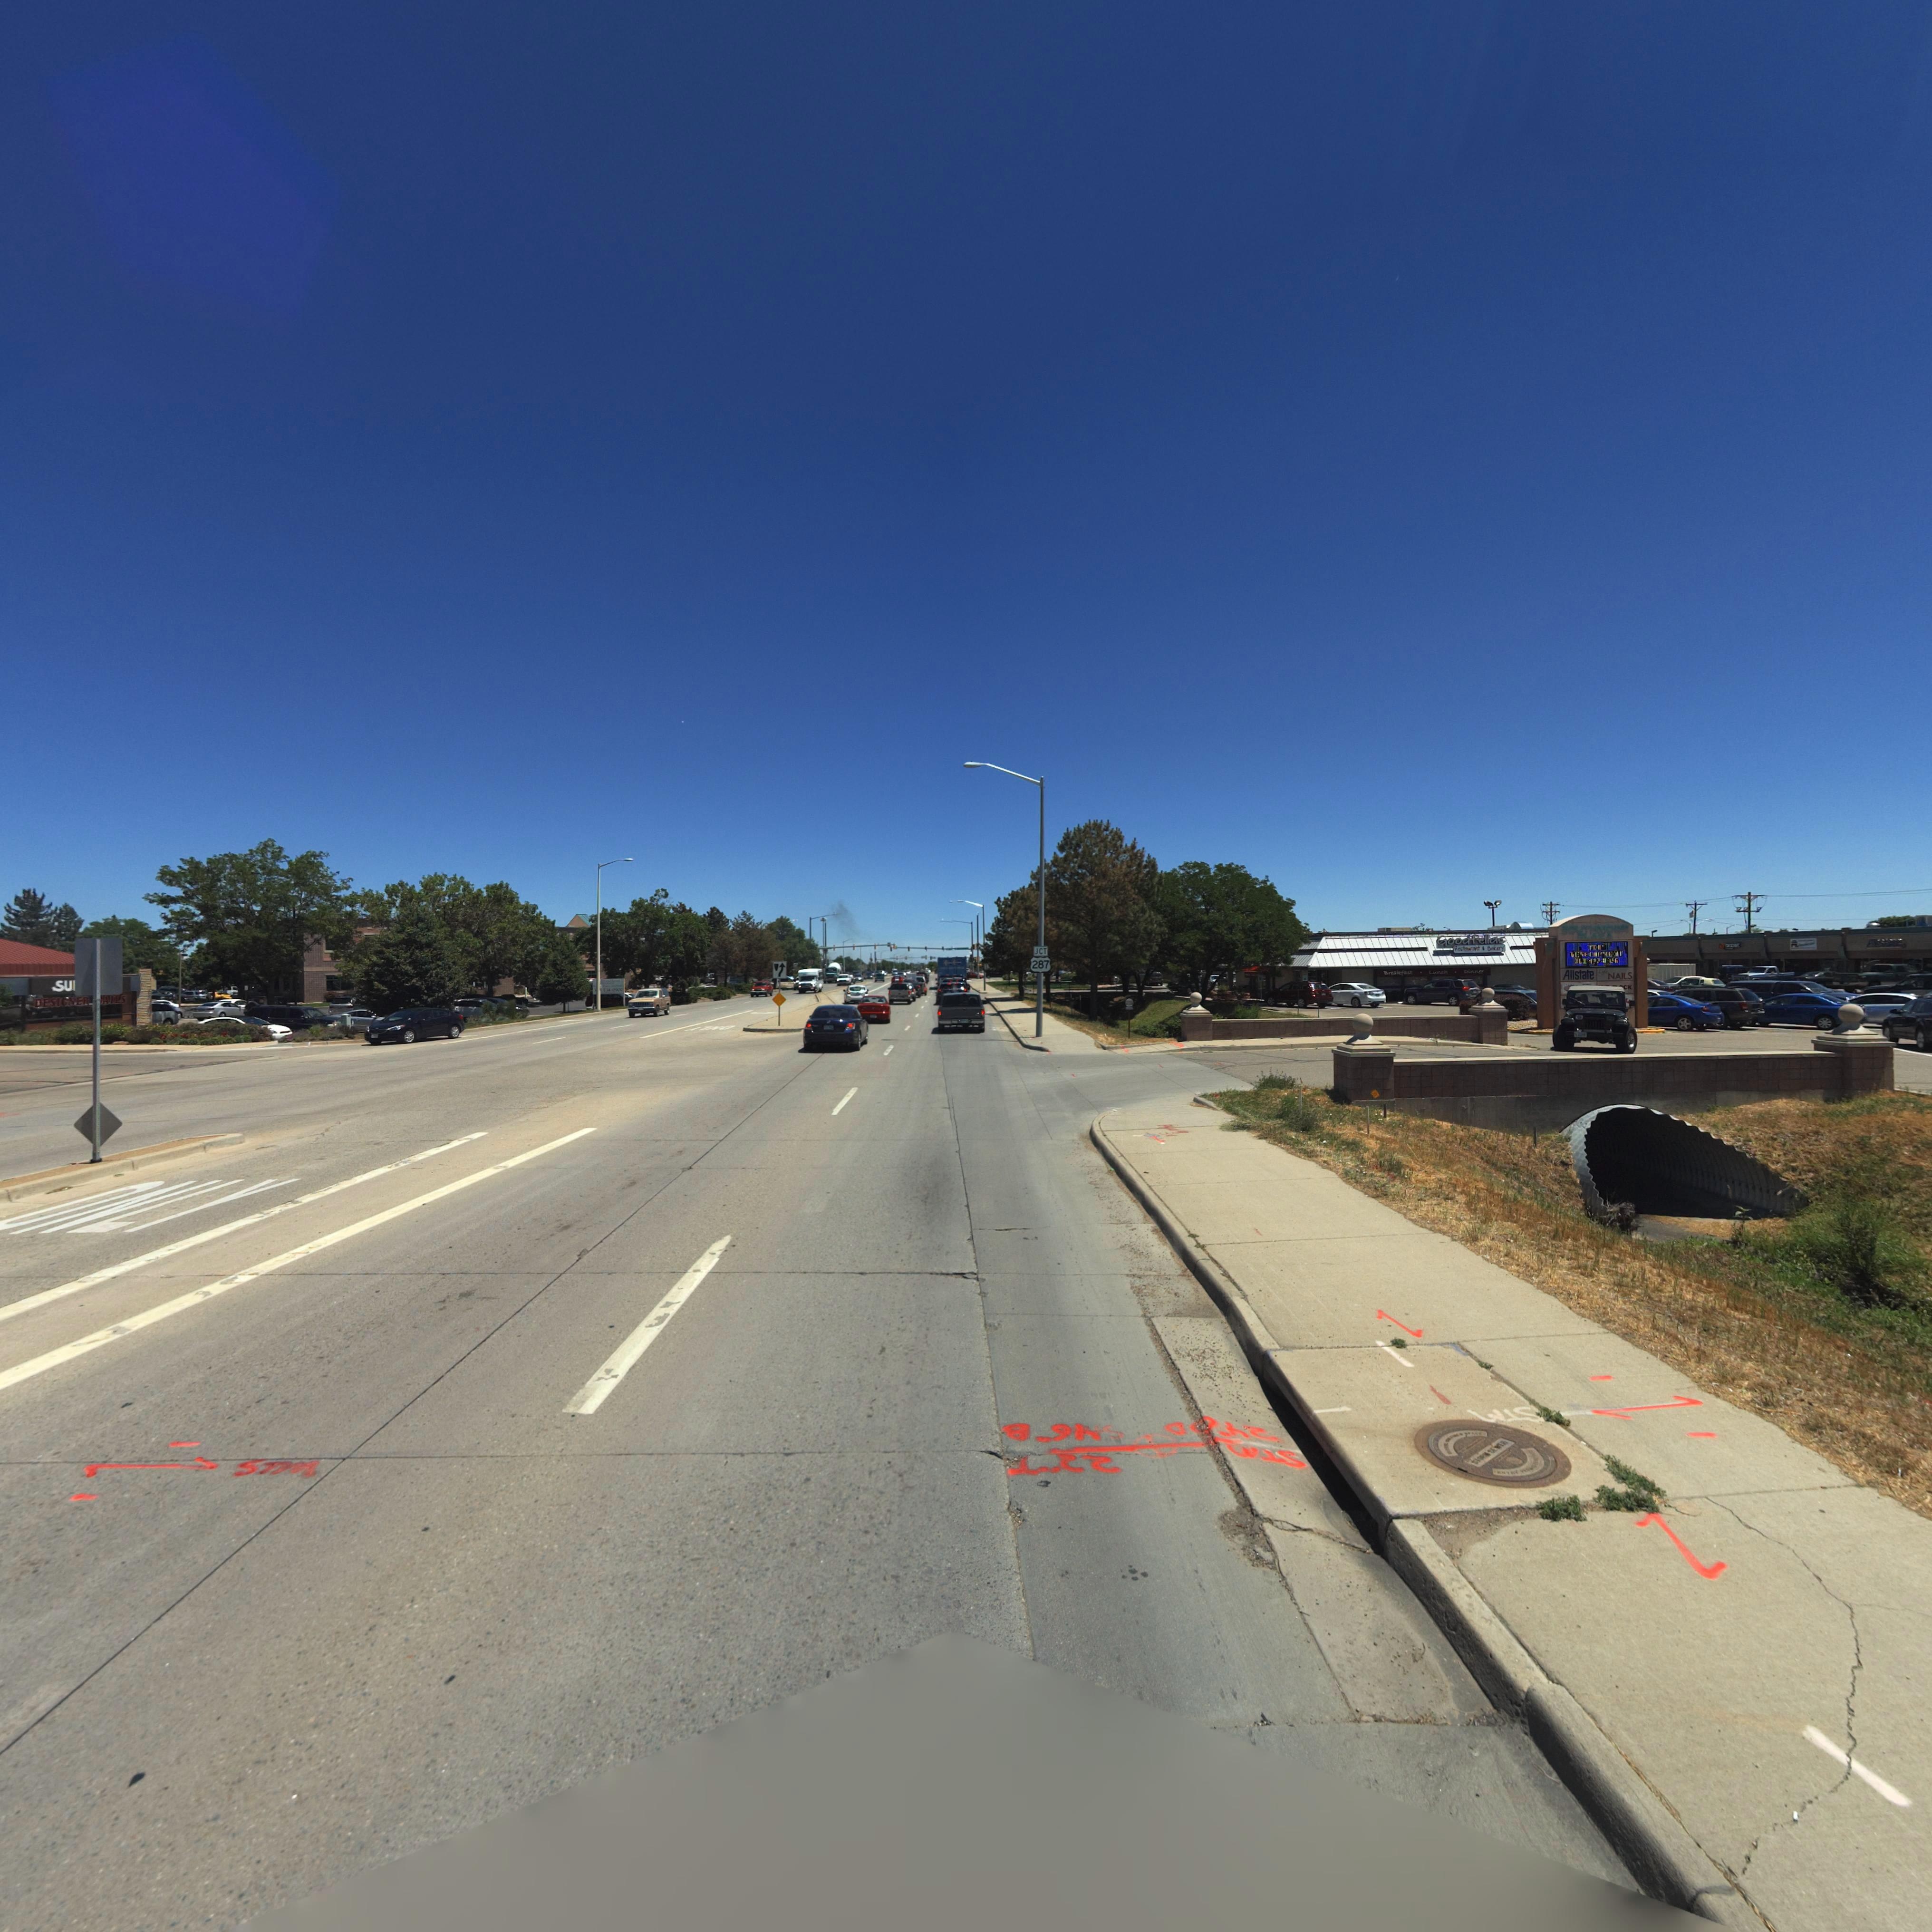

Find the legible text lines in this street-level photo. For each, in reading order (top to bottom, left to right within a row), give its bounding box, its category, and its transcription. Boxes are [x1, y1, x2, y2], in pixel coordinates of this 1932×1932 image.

[1435, 934, 1507, 947] BusinessName: Goodfellas
[1724, 942, 1741, 947] BusinessName: boost
[1562, 968, 1594, 980] BusinessName: Allstate
[1607, 971, 1632, 980] BusinessName: NAILS
[50, 979, 76, 993] BusinessName: SU*
[33, 994, 128, 1009] BusinessName: DESIGNER *AILS